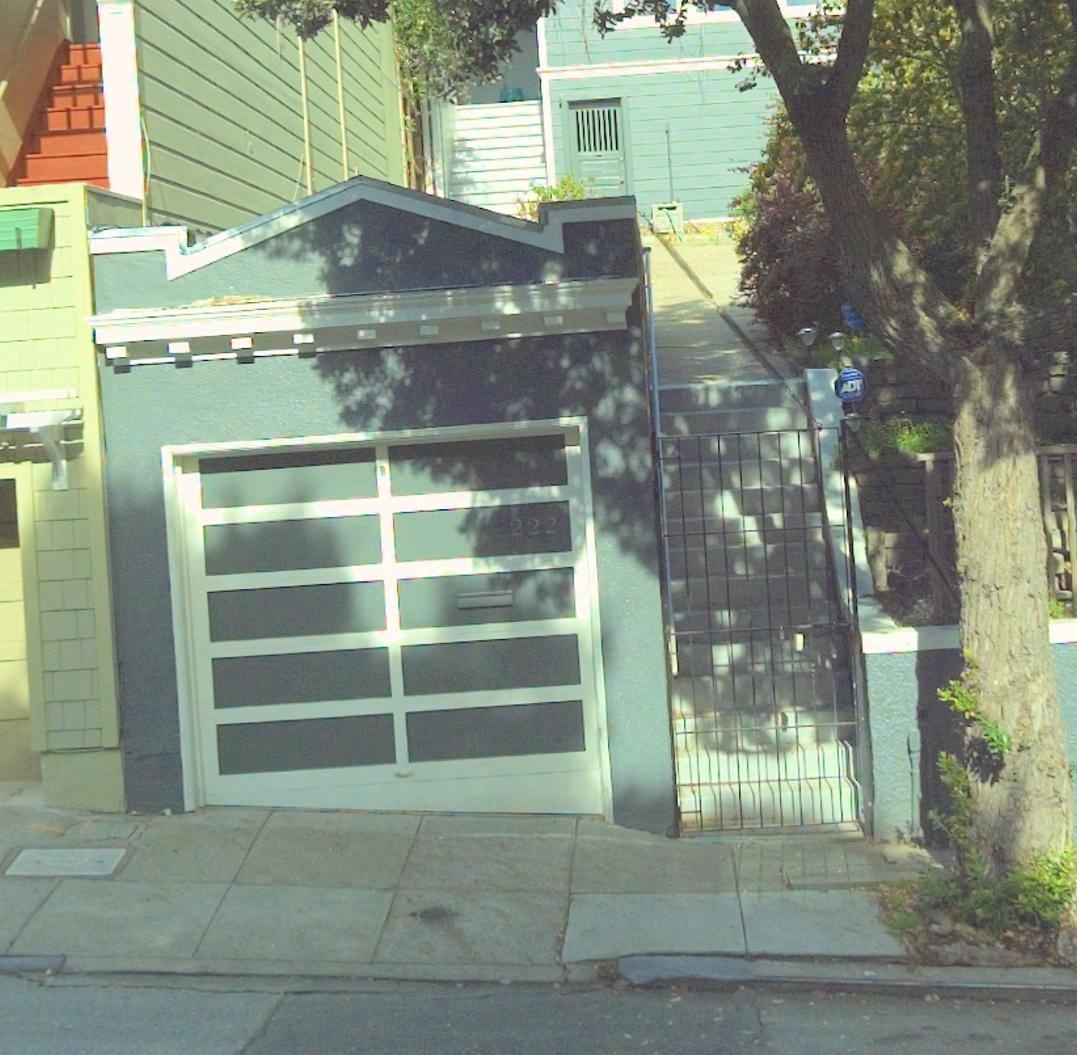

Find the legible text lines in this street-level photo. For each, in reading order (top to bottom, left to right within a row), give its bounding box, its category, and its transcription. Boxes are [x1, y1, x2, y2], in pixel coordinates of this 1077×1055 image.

[840, 377, 863, 394] None: ADT
[509, 515, 559, 537] StreetNumber: 222